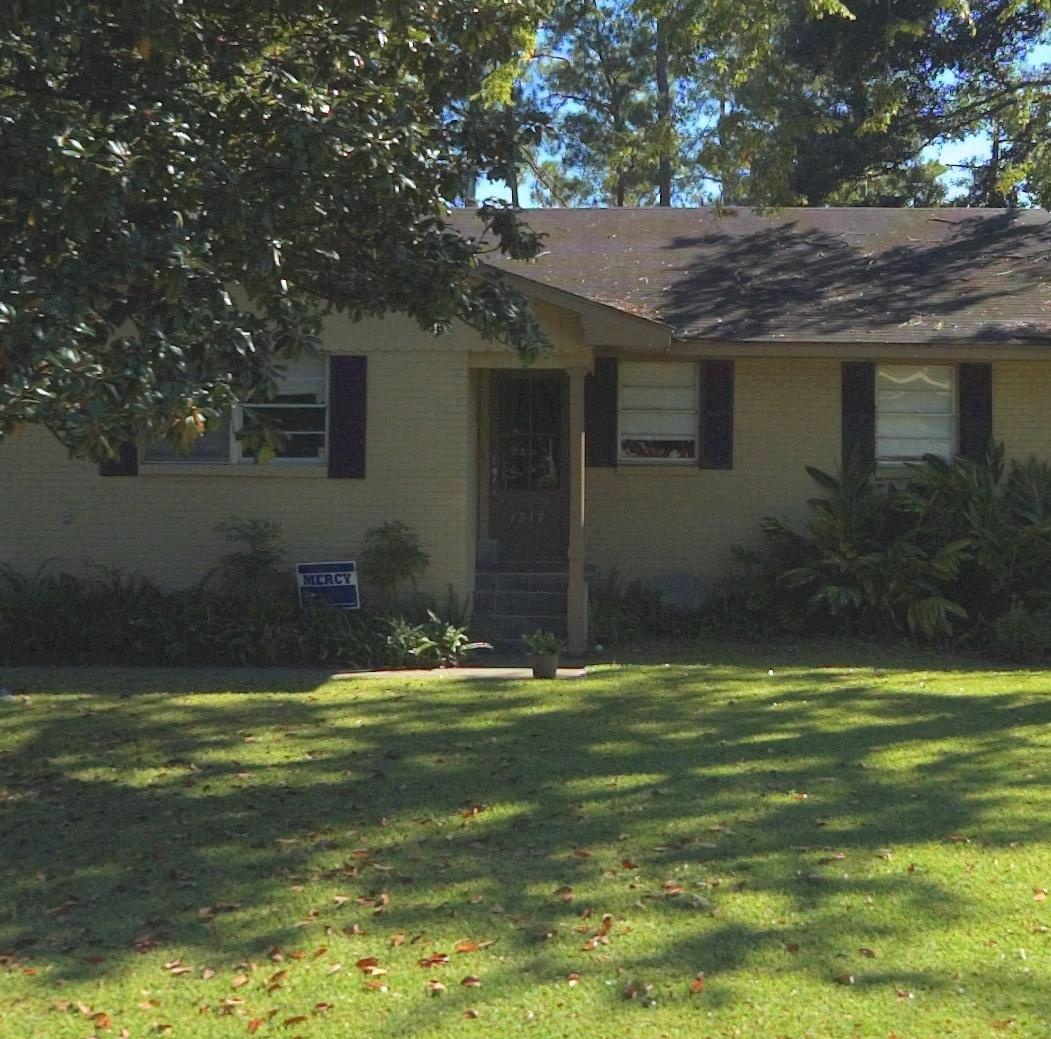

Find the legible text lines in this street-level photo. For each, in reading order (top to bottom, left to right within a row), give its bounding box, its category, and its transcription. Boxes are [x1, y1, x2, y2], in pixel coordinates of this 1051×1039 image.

[508, 510, 547, 525] StreetNumber: 1215
[301, 570, 354, 588] None: MERCY